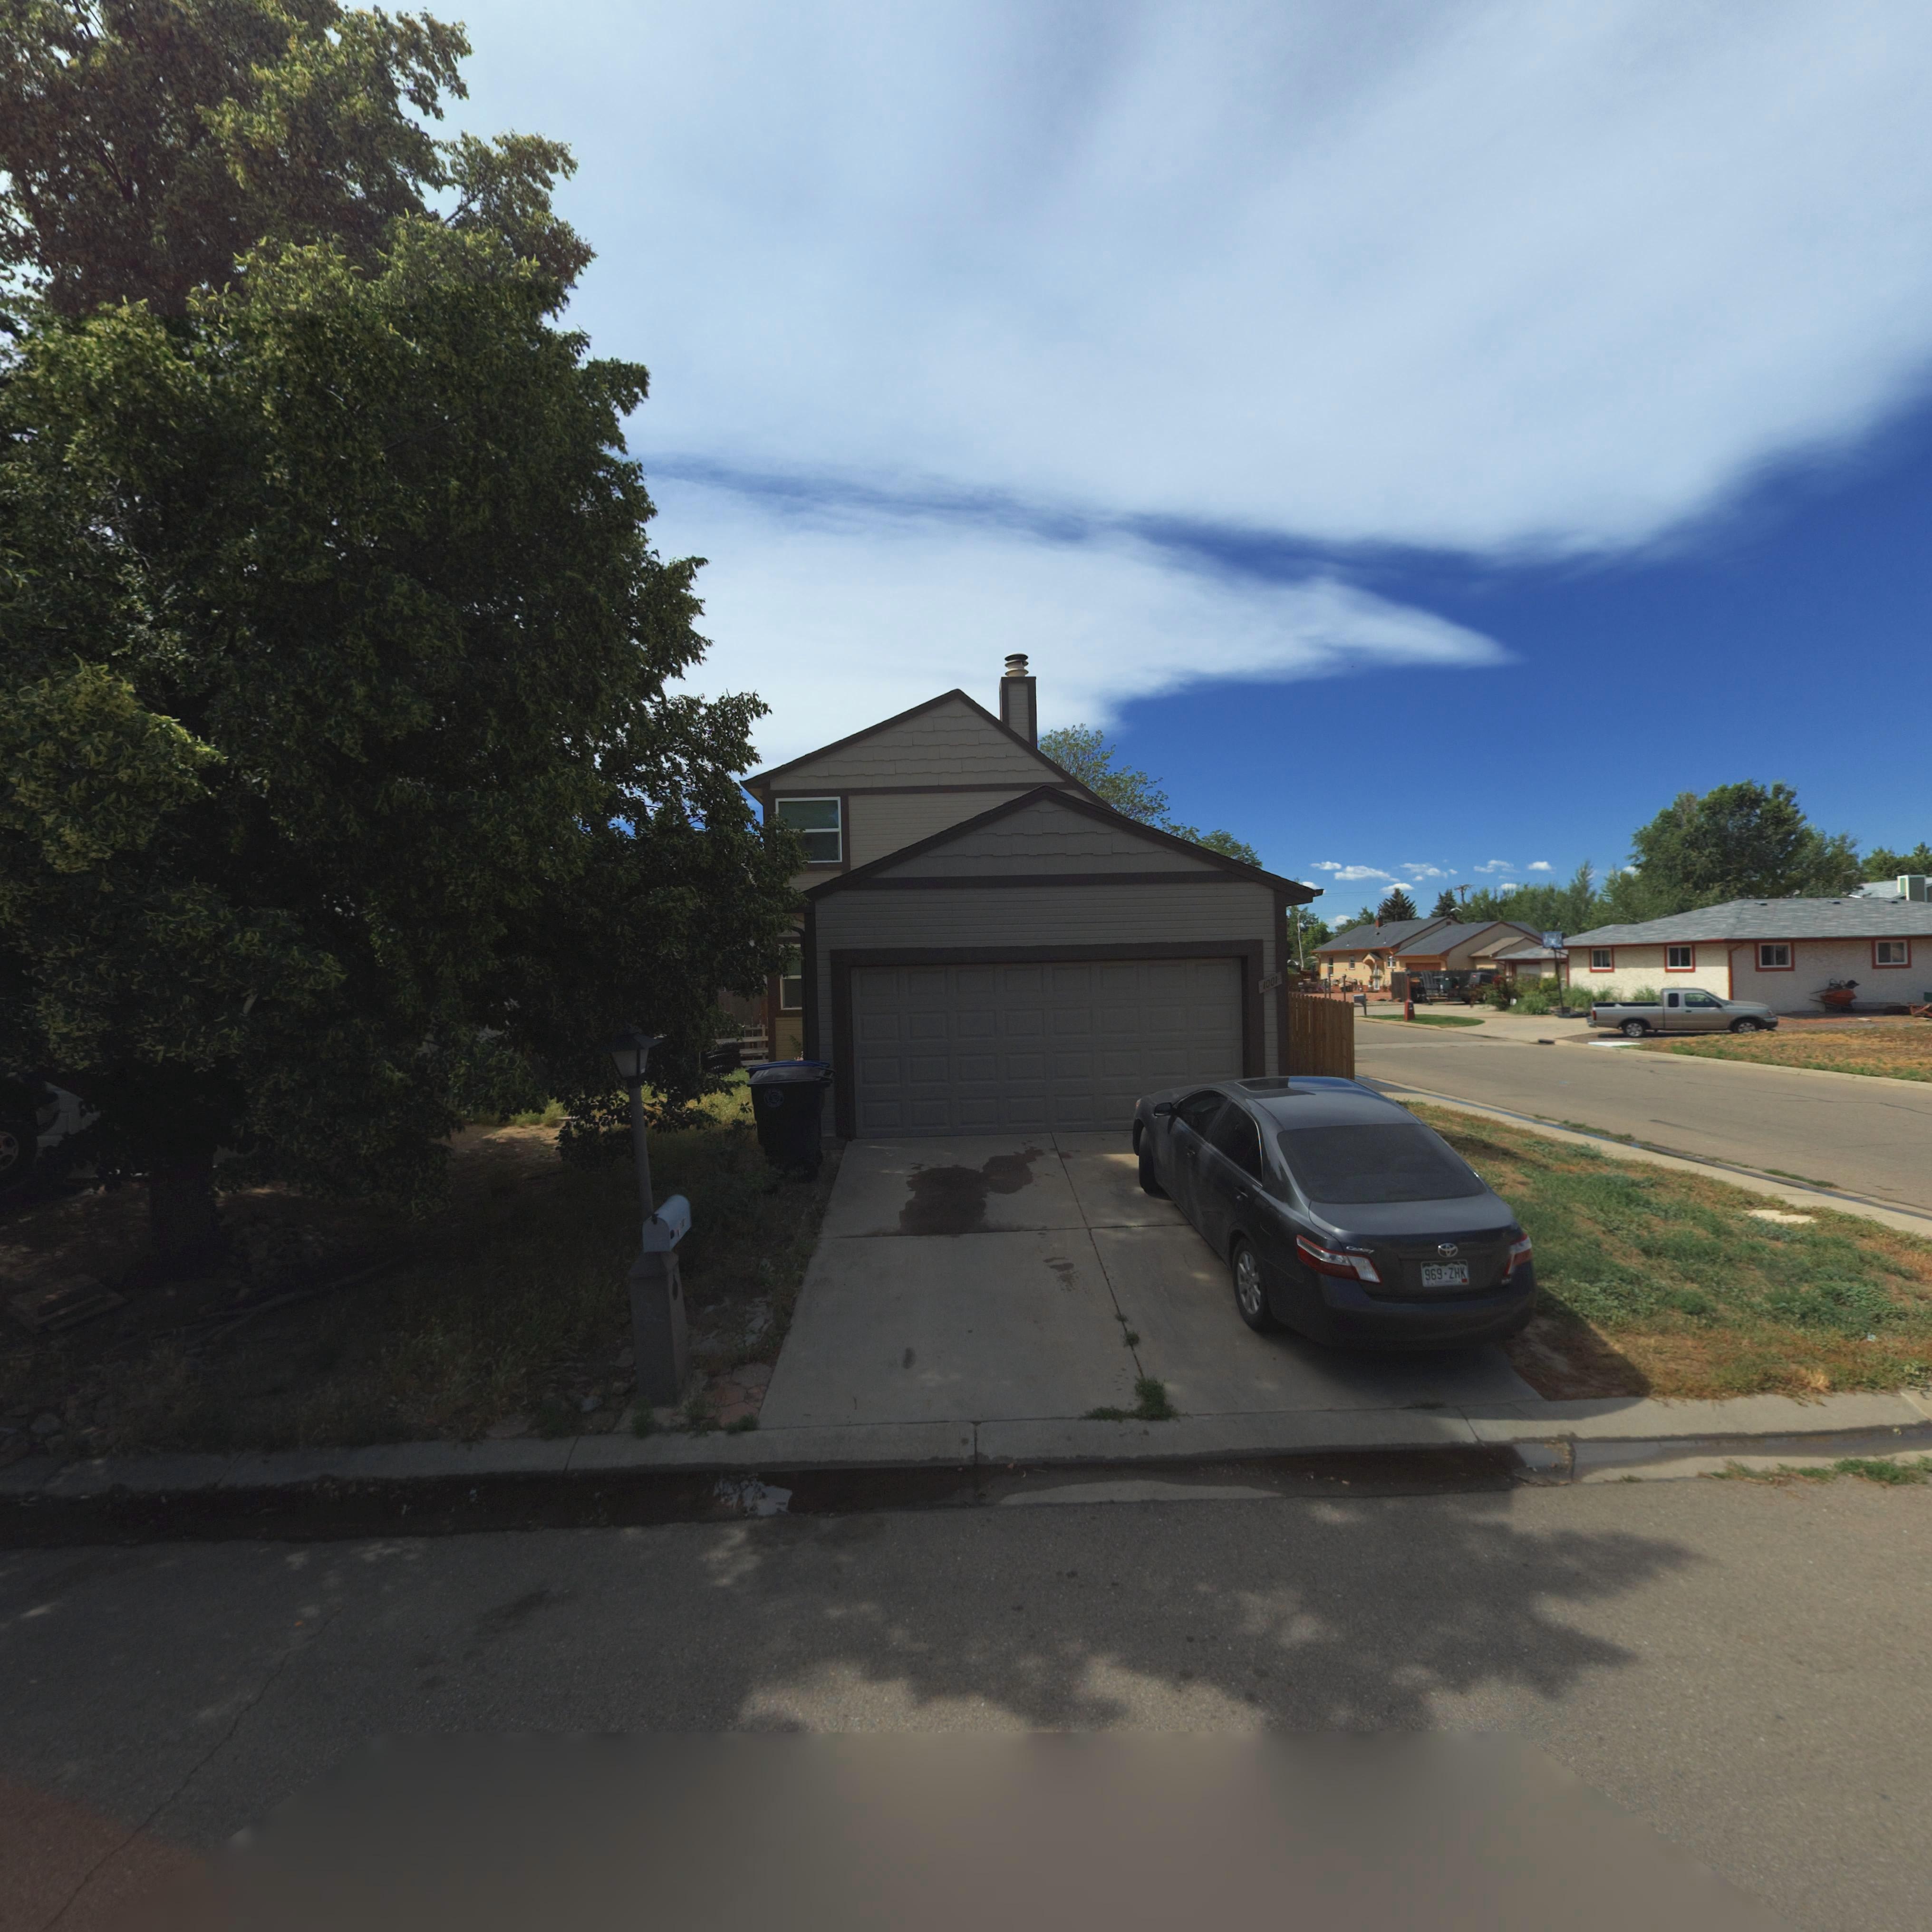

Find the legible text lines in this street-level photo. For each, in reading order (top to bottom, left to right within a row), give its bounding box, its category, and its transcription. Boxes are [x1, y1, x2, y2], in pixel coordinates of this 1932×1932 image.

[1263, 975, 1277, 990] StreetNumber: 1001